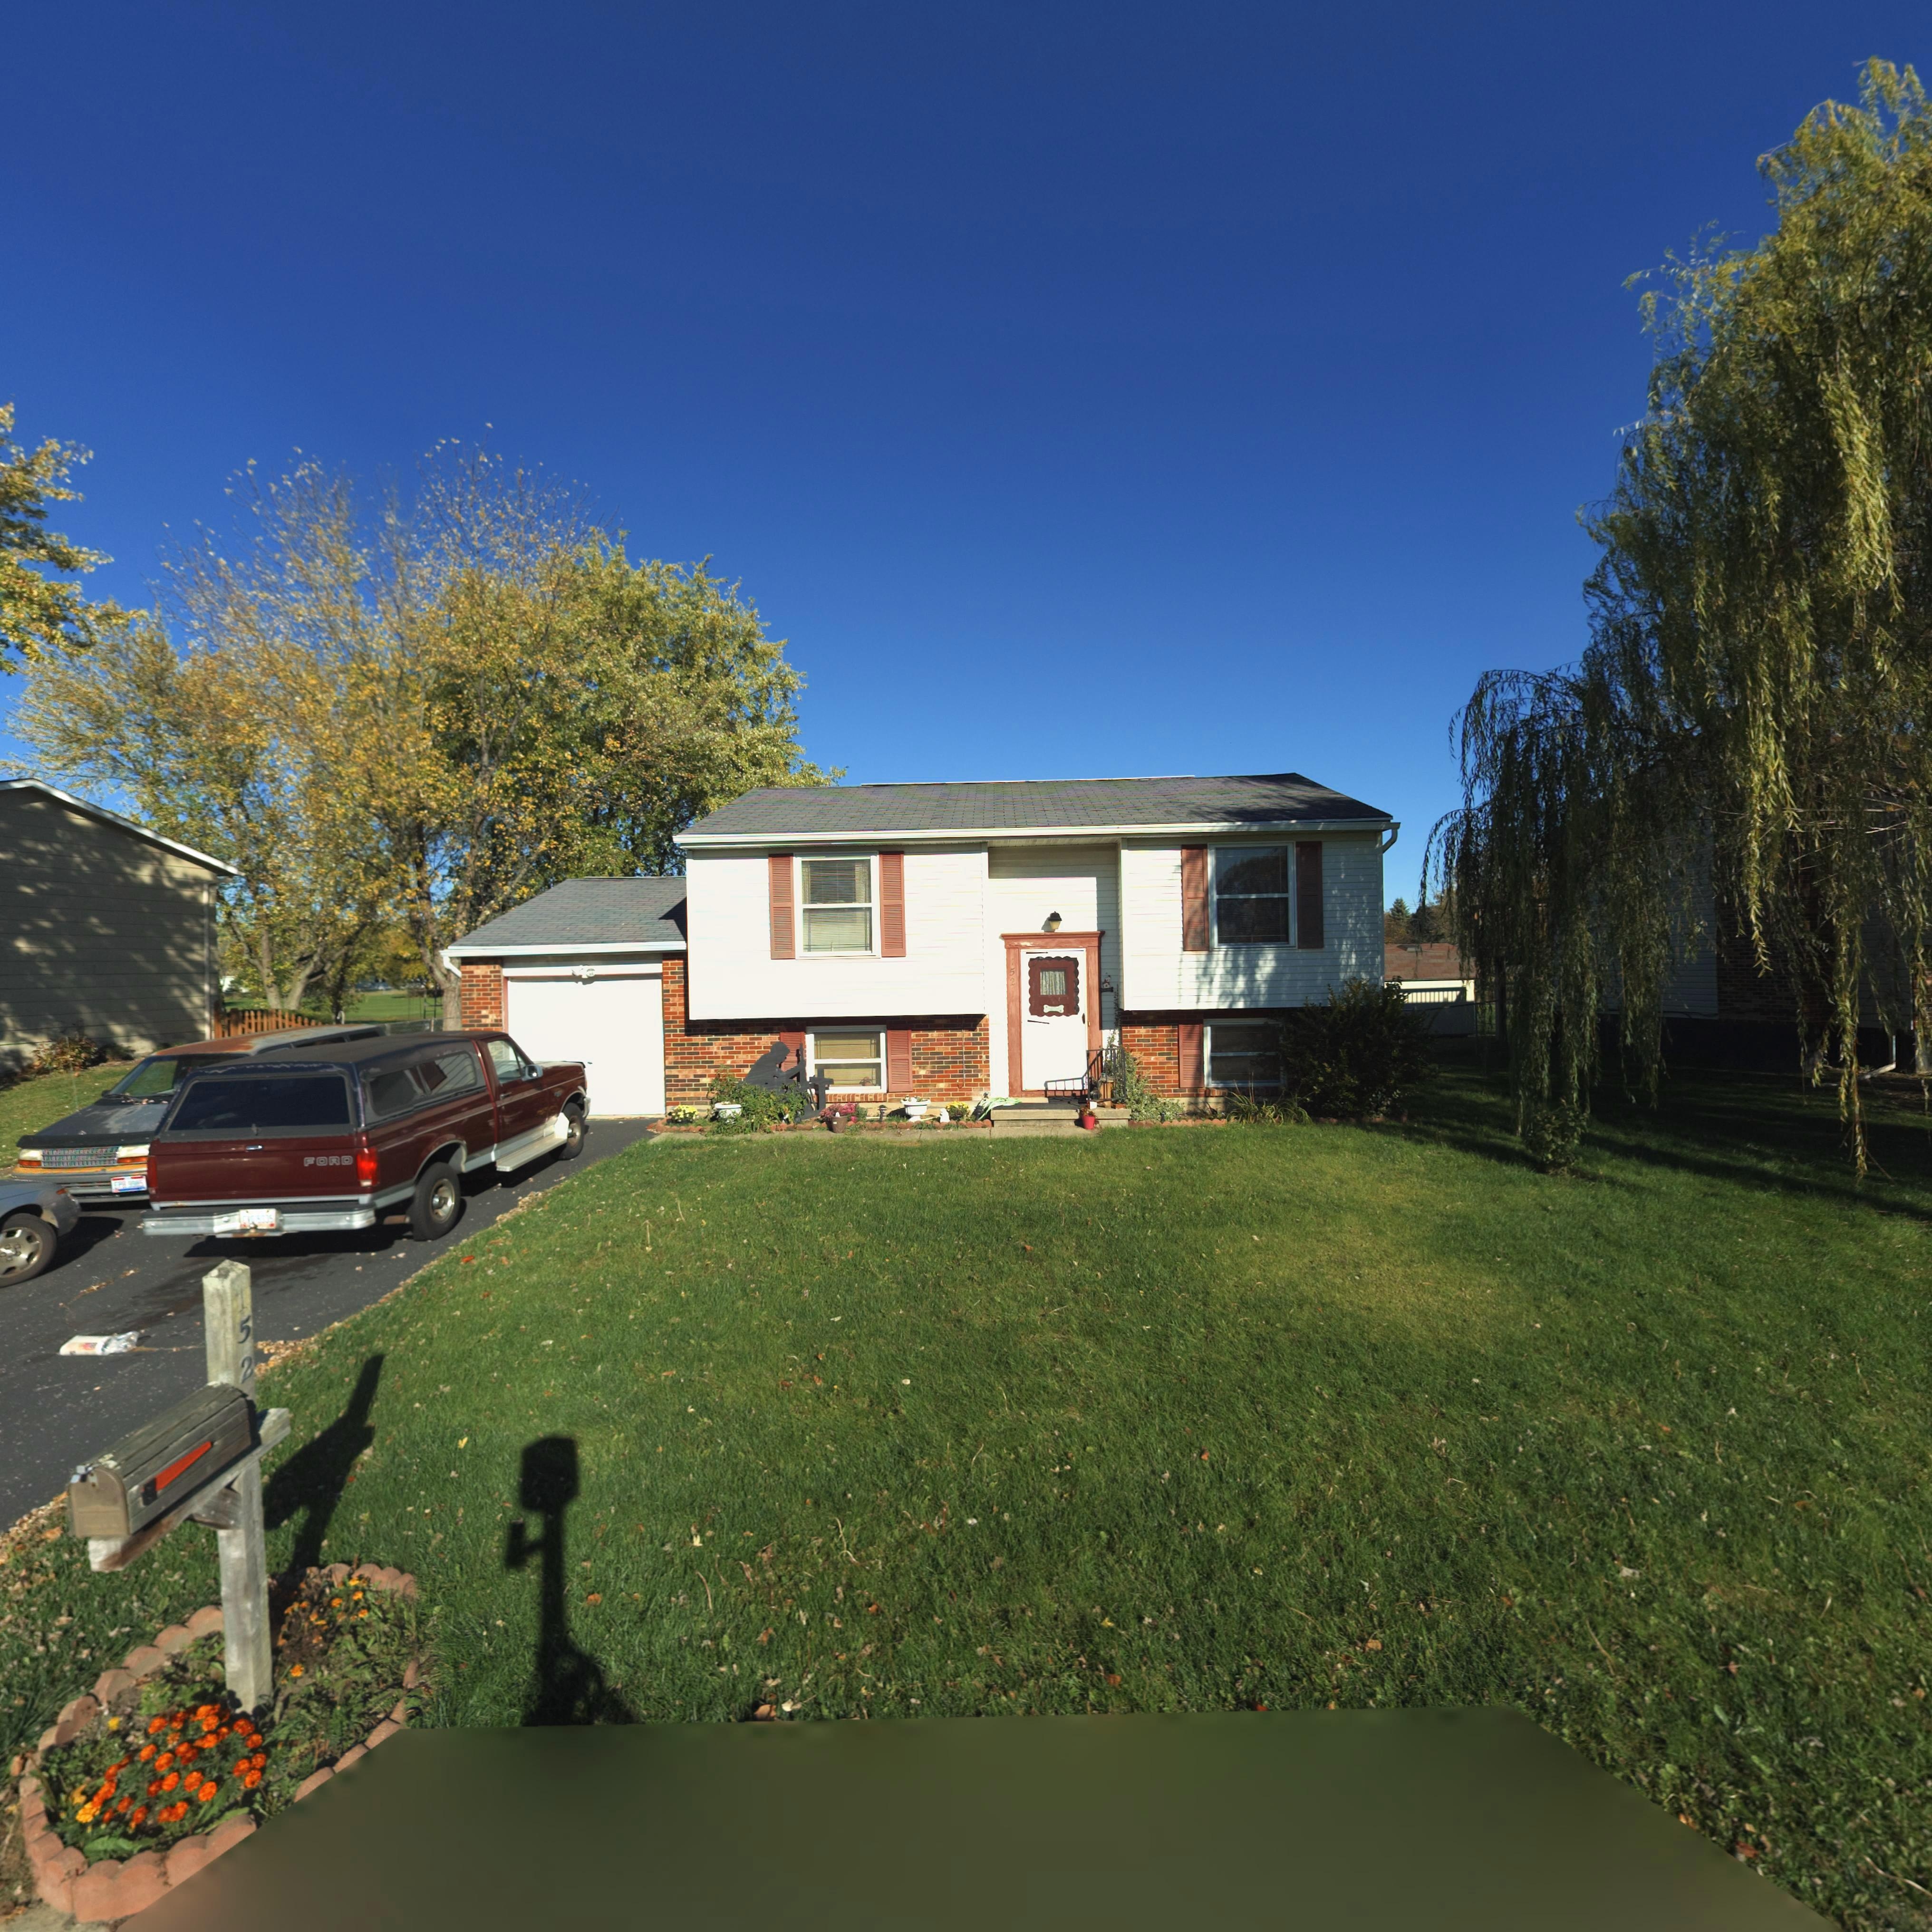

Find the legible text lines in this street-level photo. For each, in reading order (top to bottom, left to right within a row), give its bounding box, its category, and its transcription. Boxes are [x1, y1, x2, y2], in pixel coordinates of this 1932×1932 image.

[1009, 957, 1016, 986] StreetNumber: 152
[234, 1285, 255, 1385] StreetNumber: 152